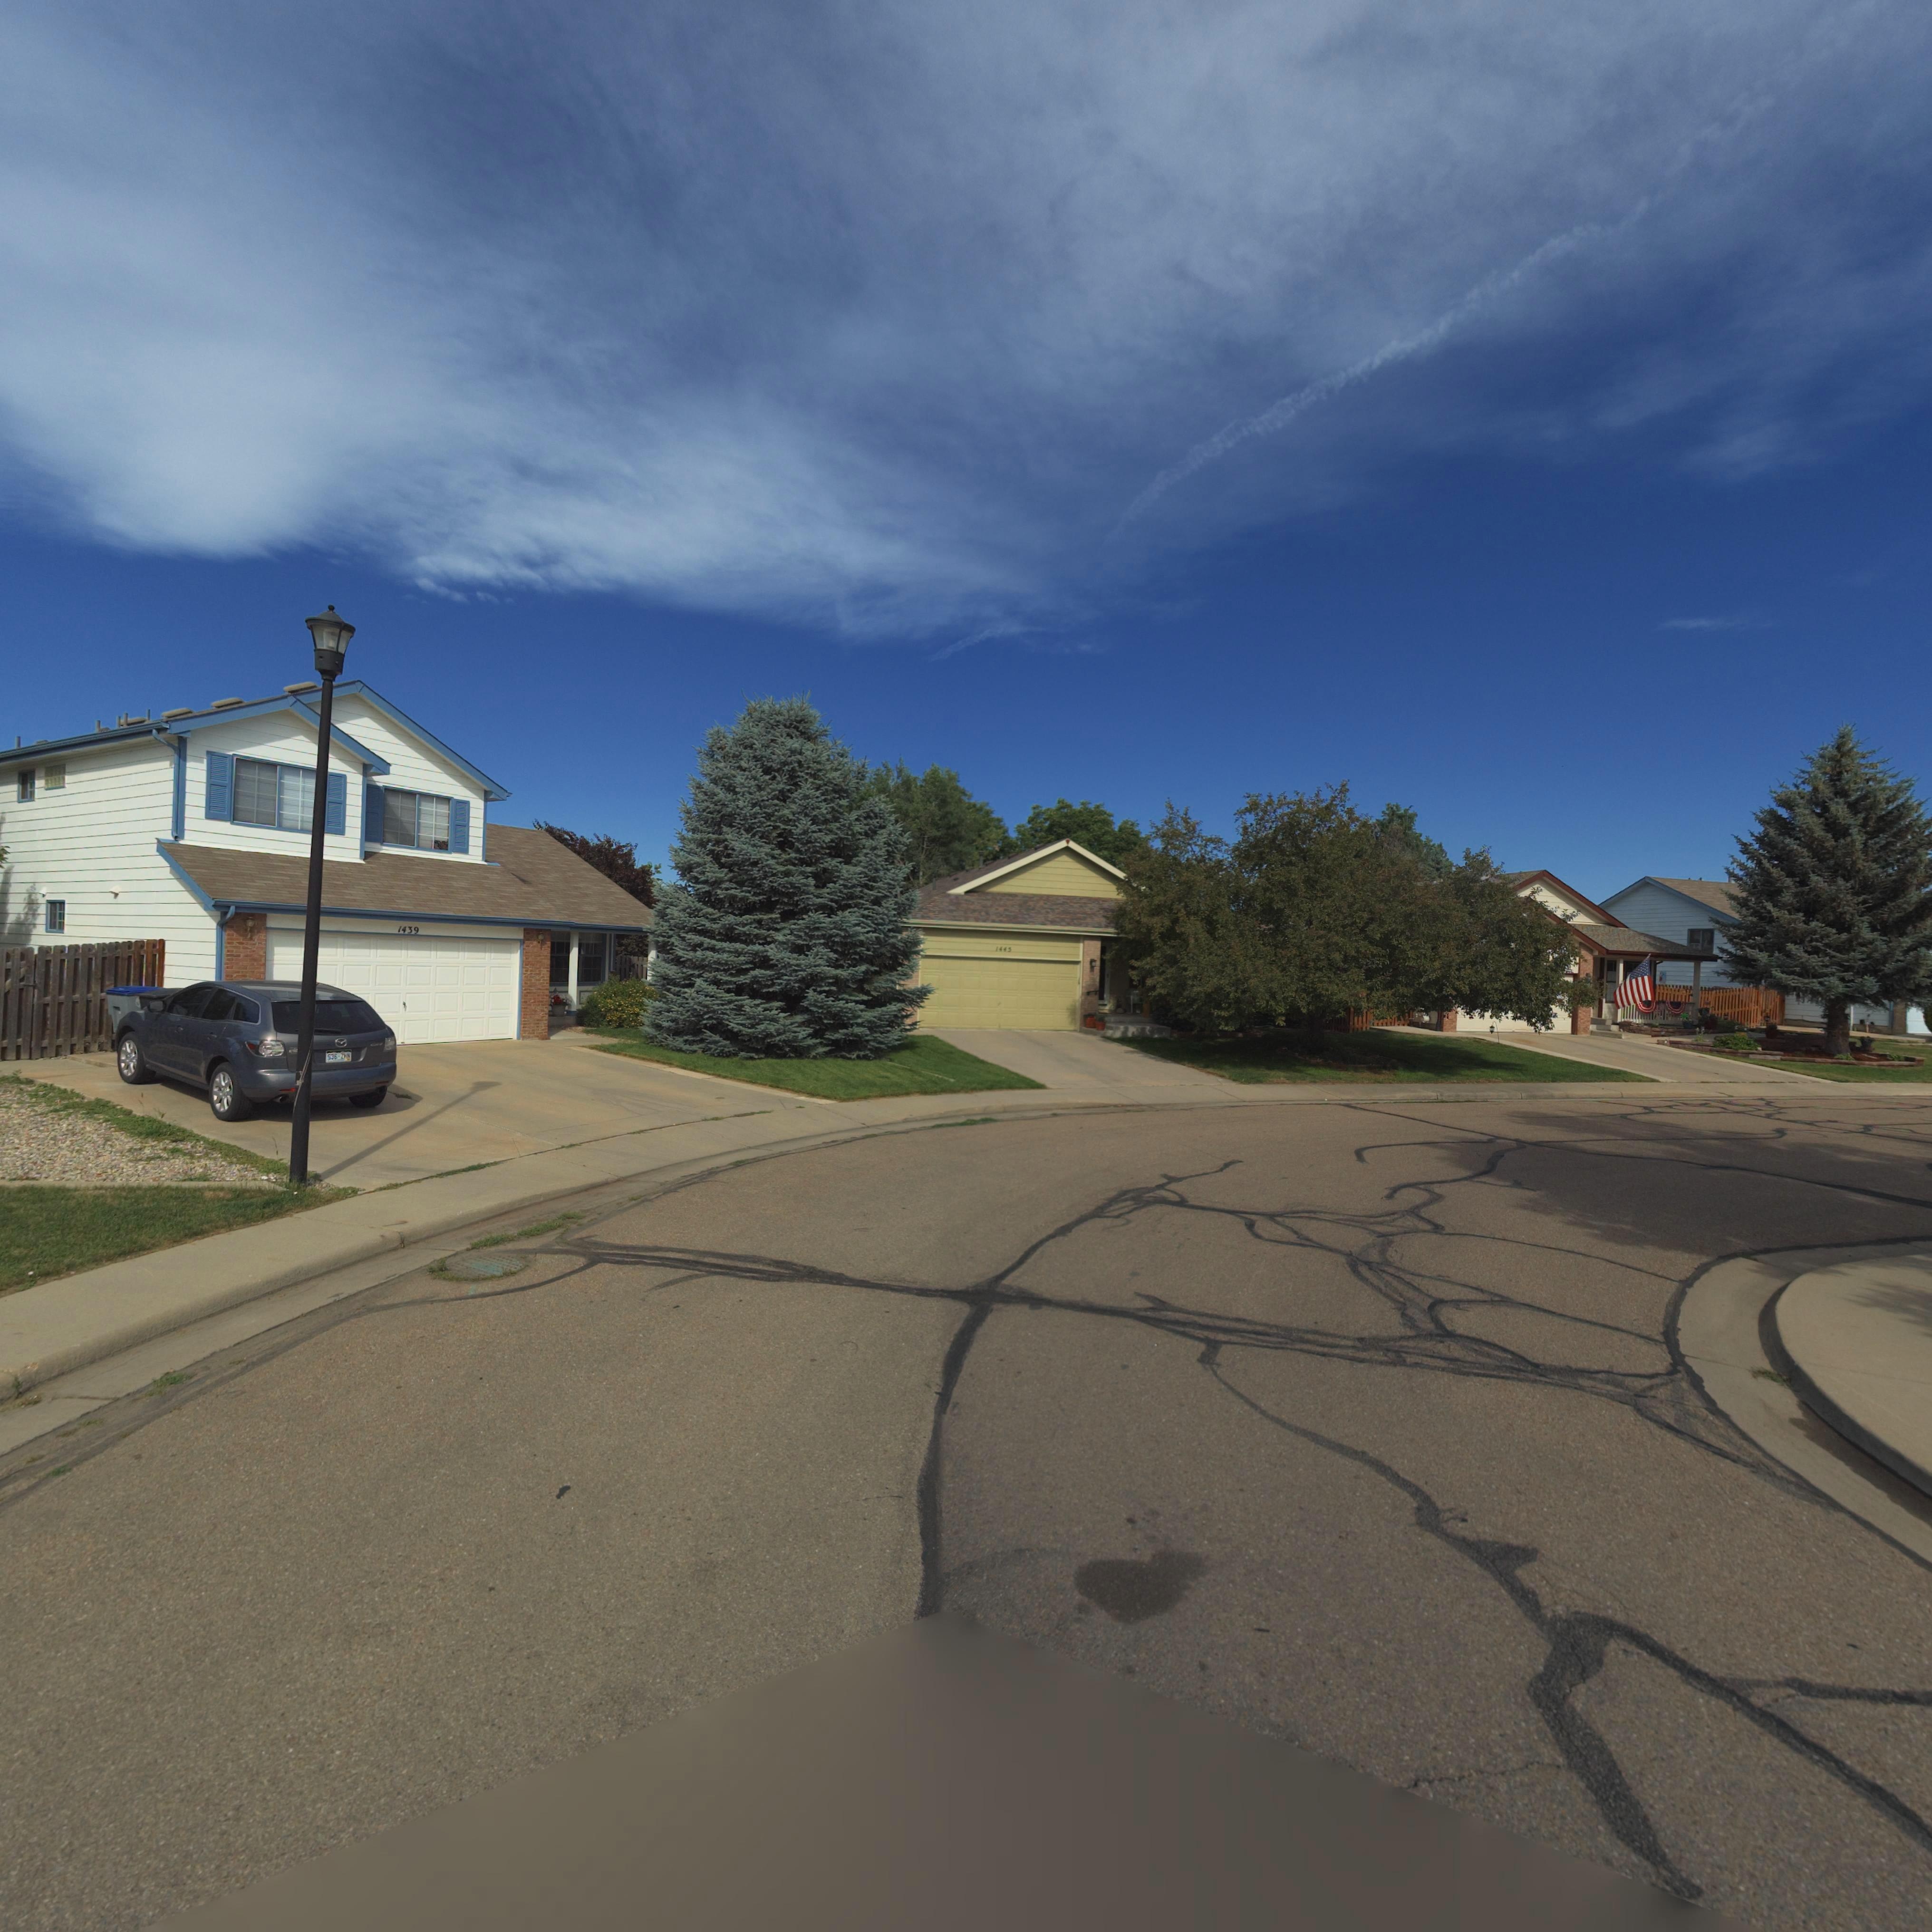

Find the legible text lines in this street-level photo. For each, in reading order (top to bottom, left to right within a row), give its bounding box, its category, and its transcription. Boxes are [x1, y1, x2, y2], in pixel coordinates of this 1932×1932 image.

[397, 925, 419, 934] StreetNumber: 1439
[995, 946, 1012, 953] StreetNumber: 1445